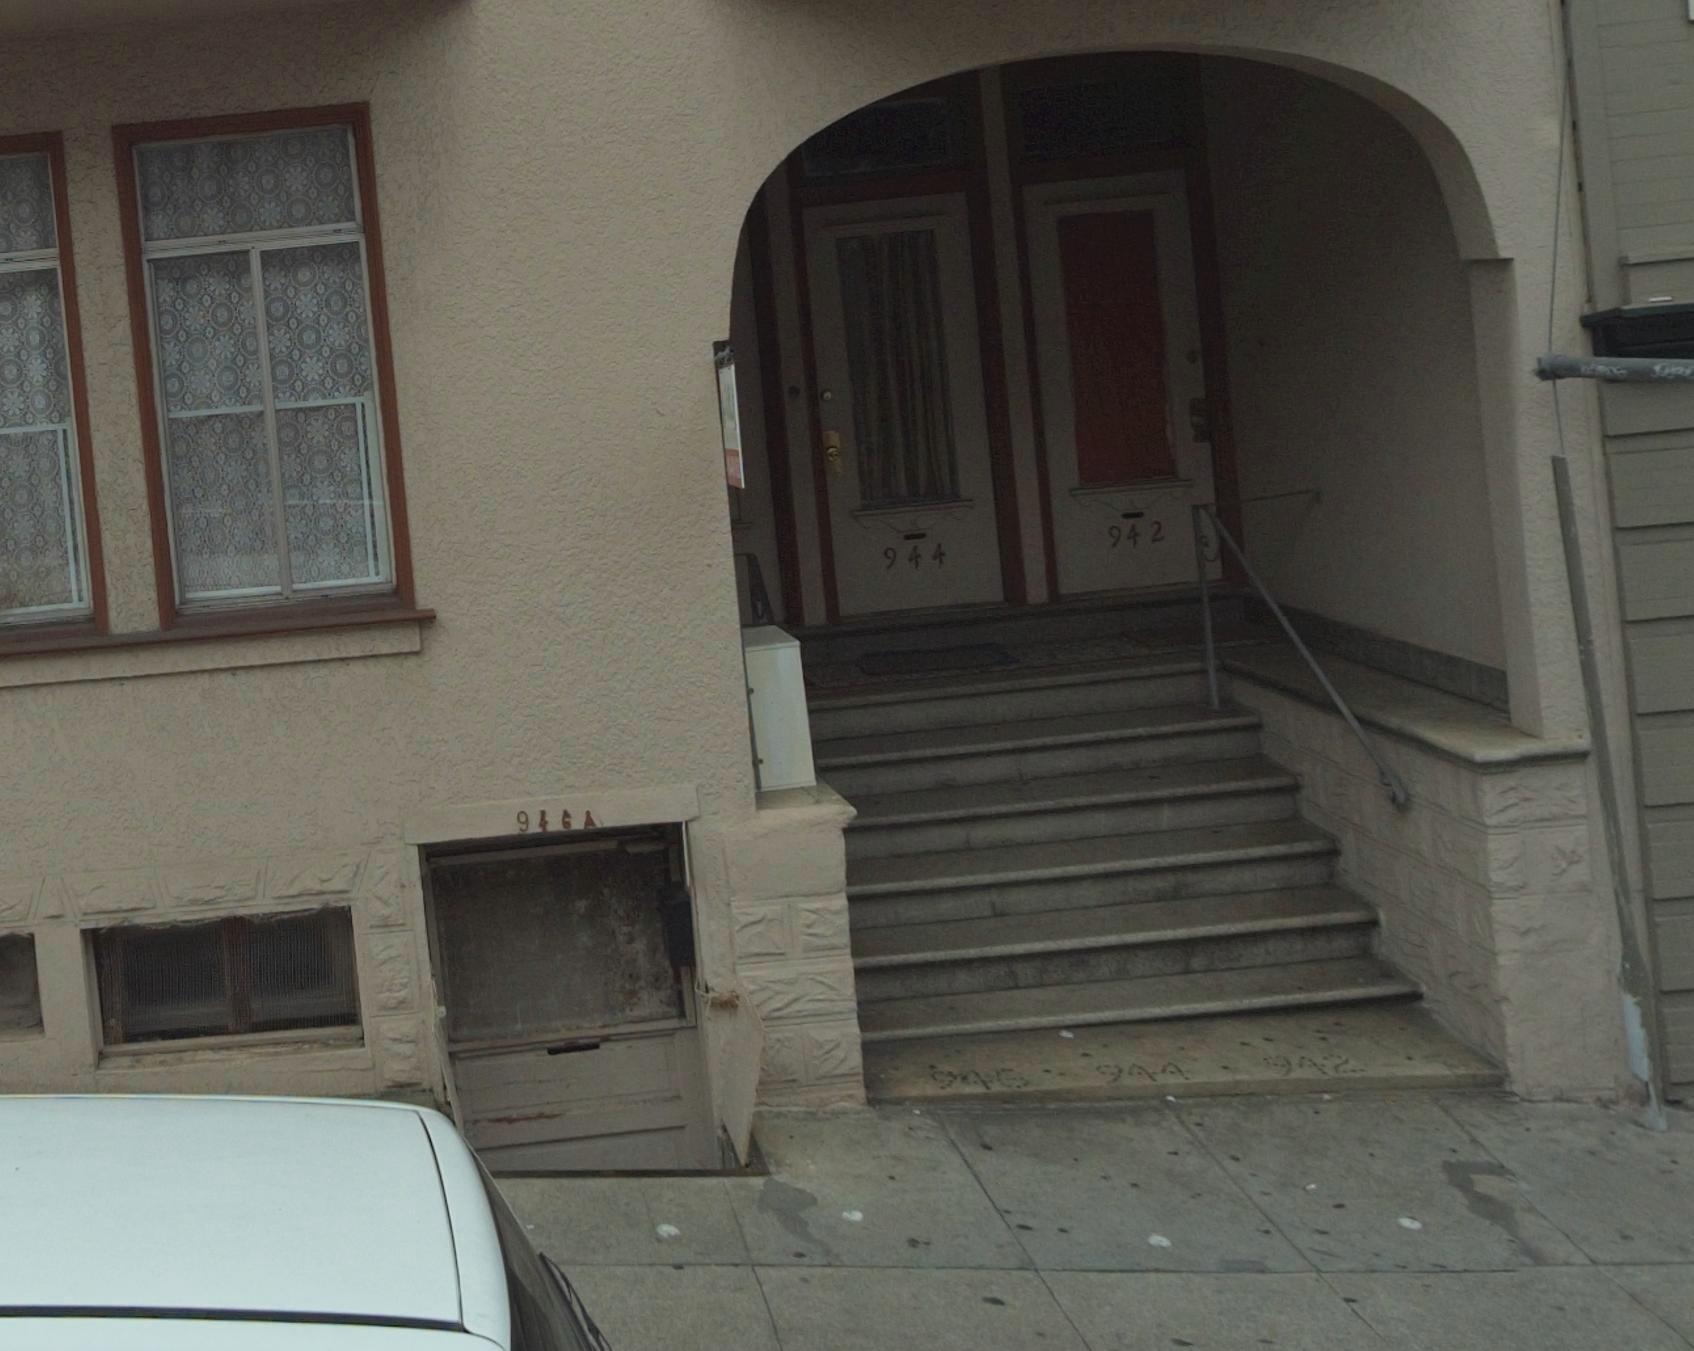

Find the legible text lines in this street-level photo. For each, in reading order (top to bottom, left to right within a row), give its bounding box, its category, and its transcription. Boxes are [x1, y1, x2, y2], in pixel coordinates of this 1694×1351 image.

[1105, 517, 1170, 555] StreetNumber: 942
[880, 537, 953, 574] StreetNumber: 944
[512, 806, 605, 839] StreetNumber: 946A